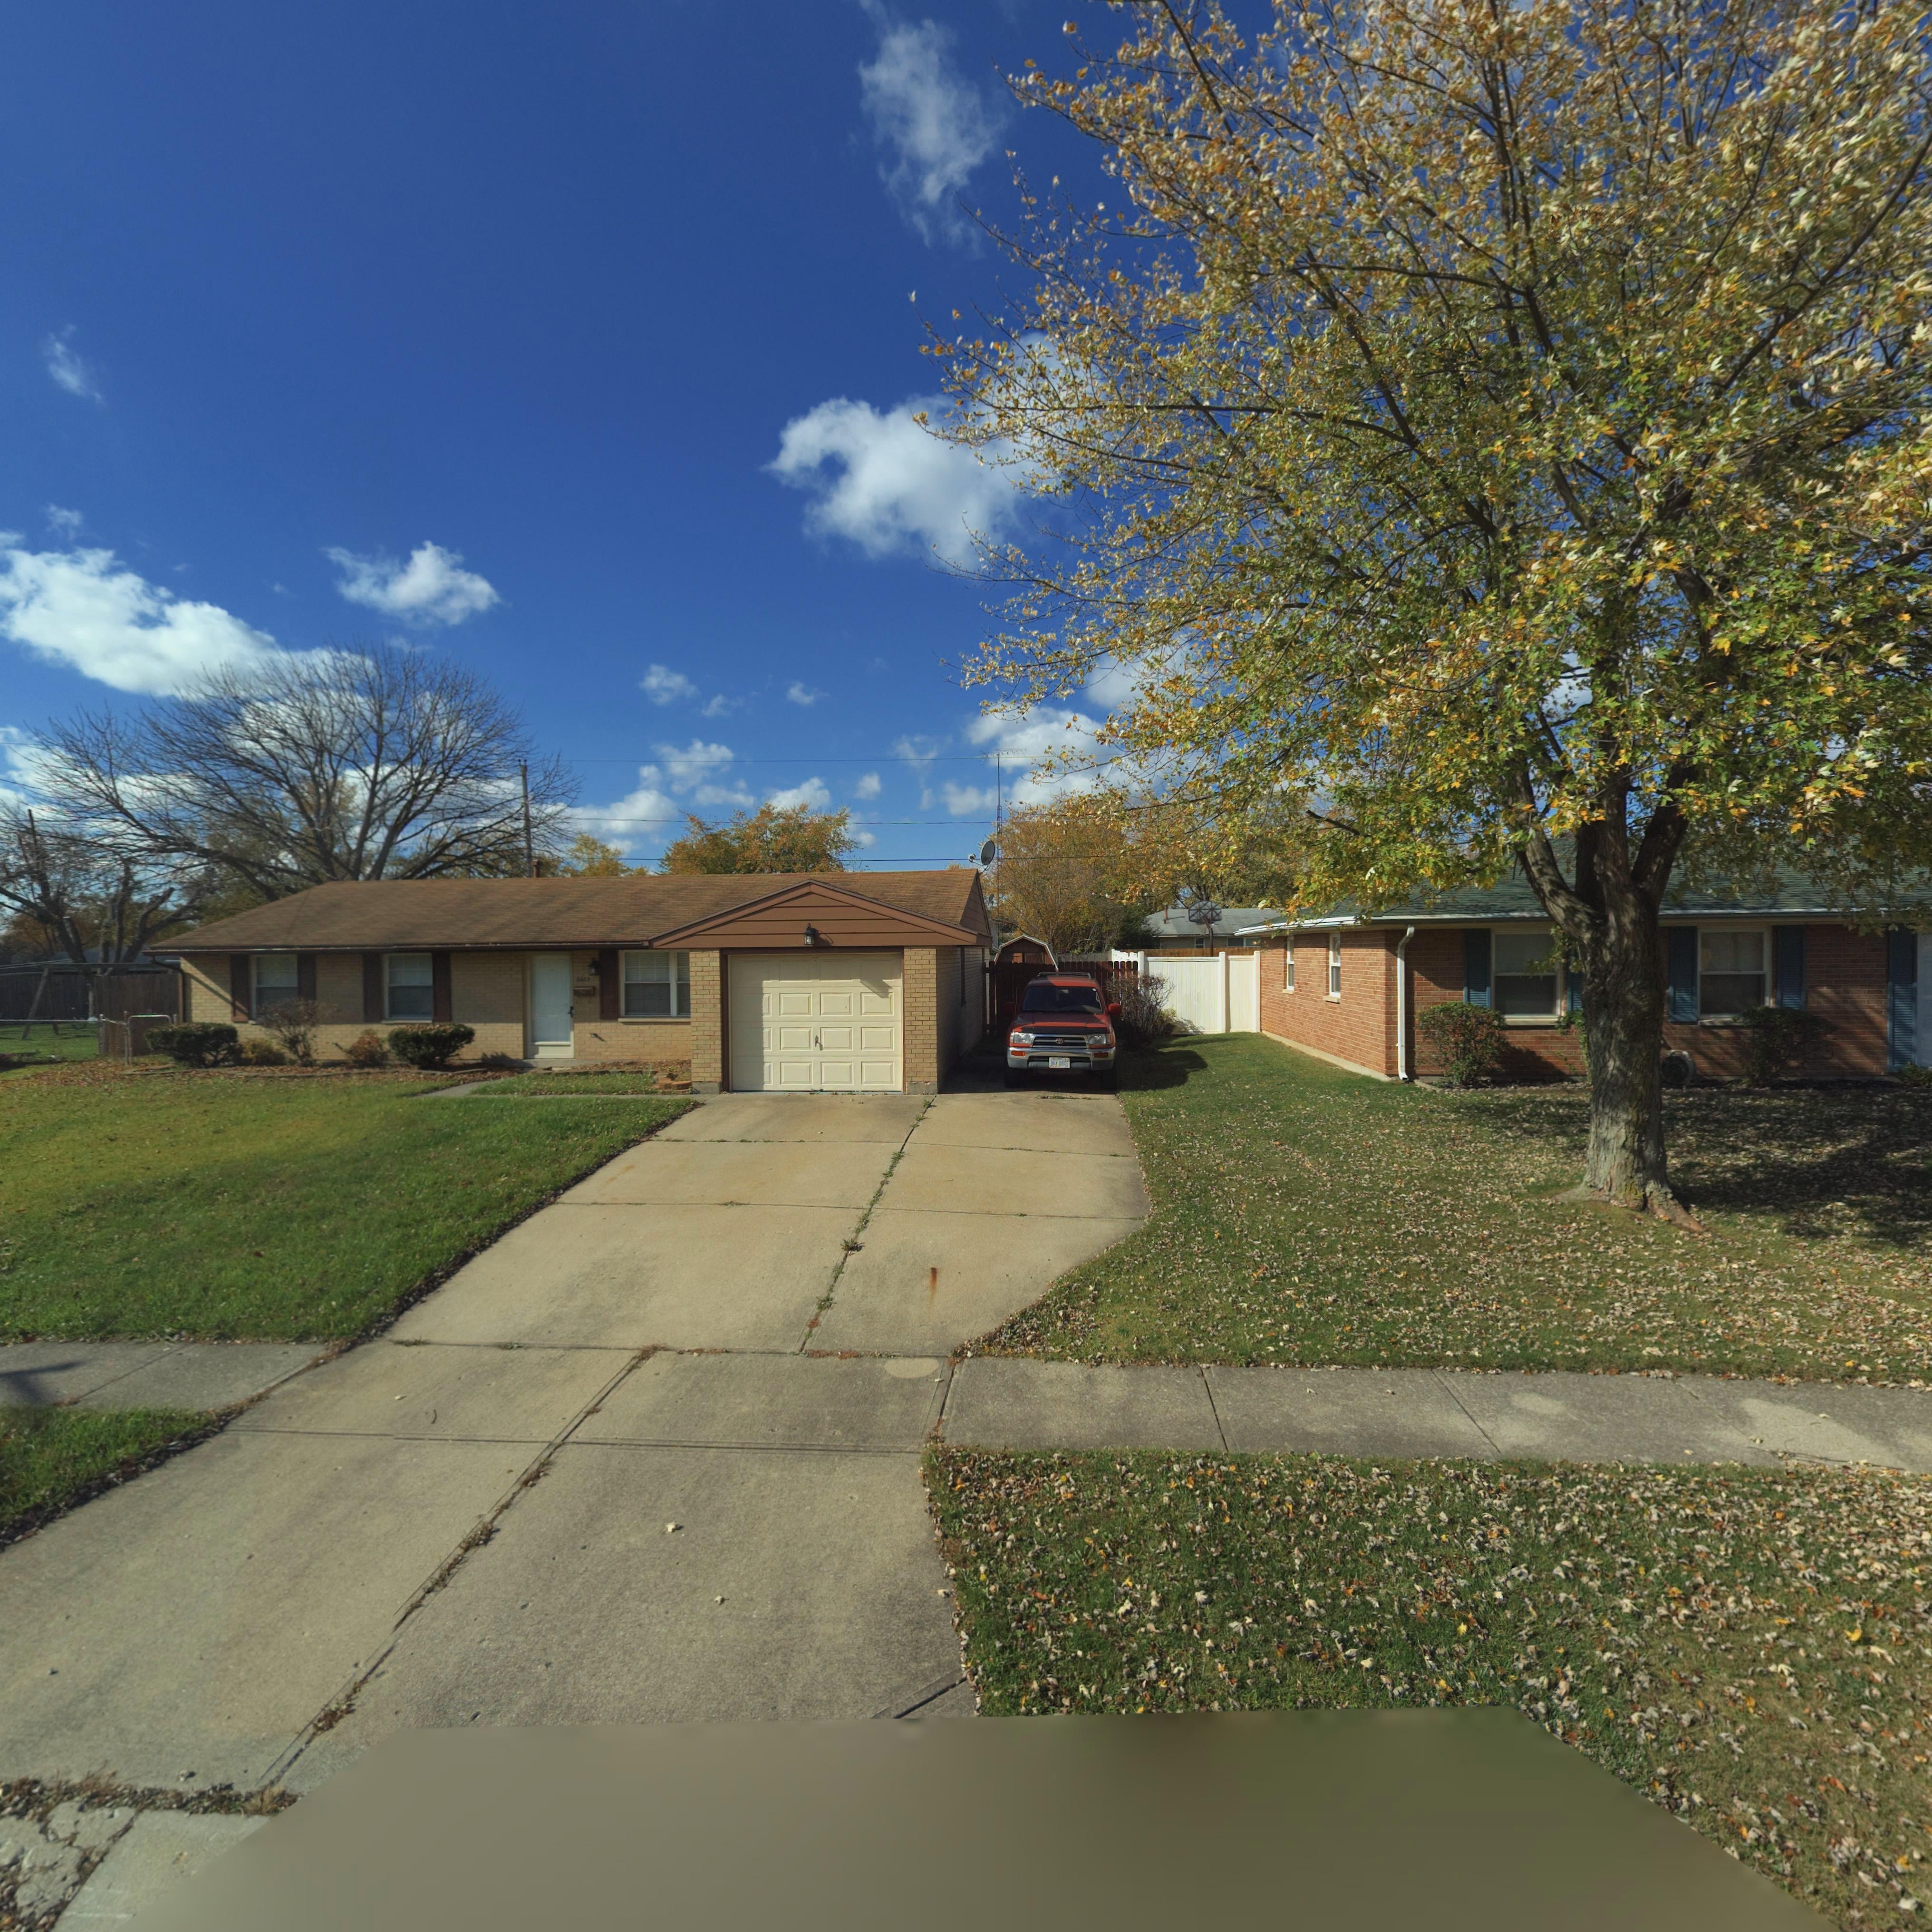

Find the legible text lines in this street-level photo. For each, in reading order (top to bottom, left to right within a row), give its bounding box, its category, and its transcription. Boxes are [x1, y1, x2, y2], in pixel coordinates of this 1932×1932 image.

[575, 976, 590, 983] StreetNumber: 666*